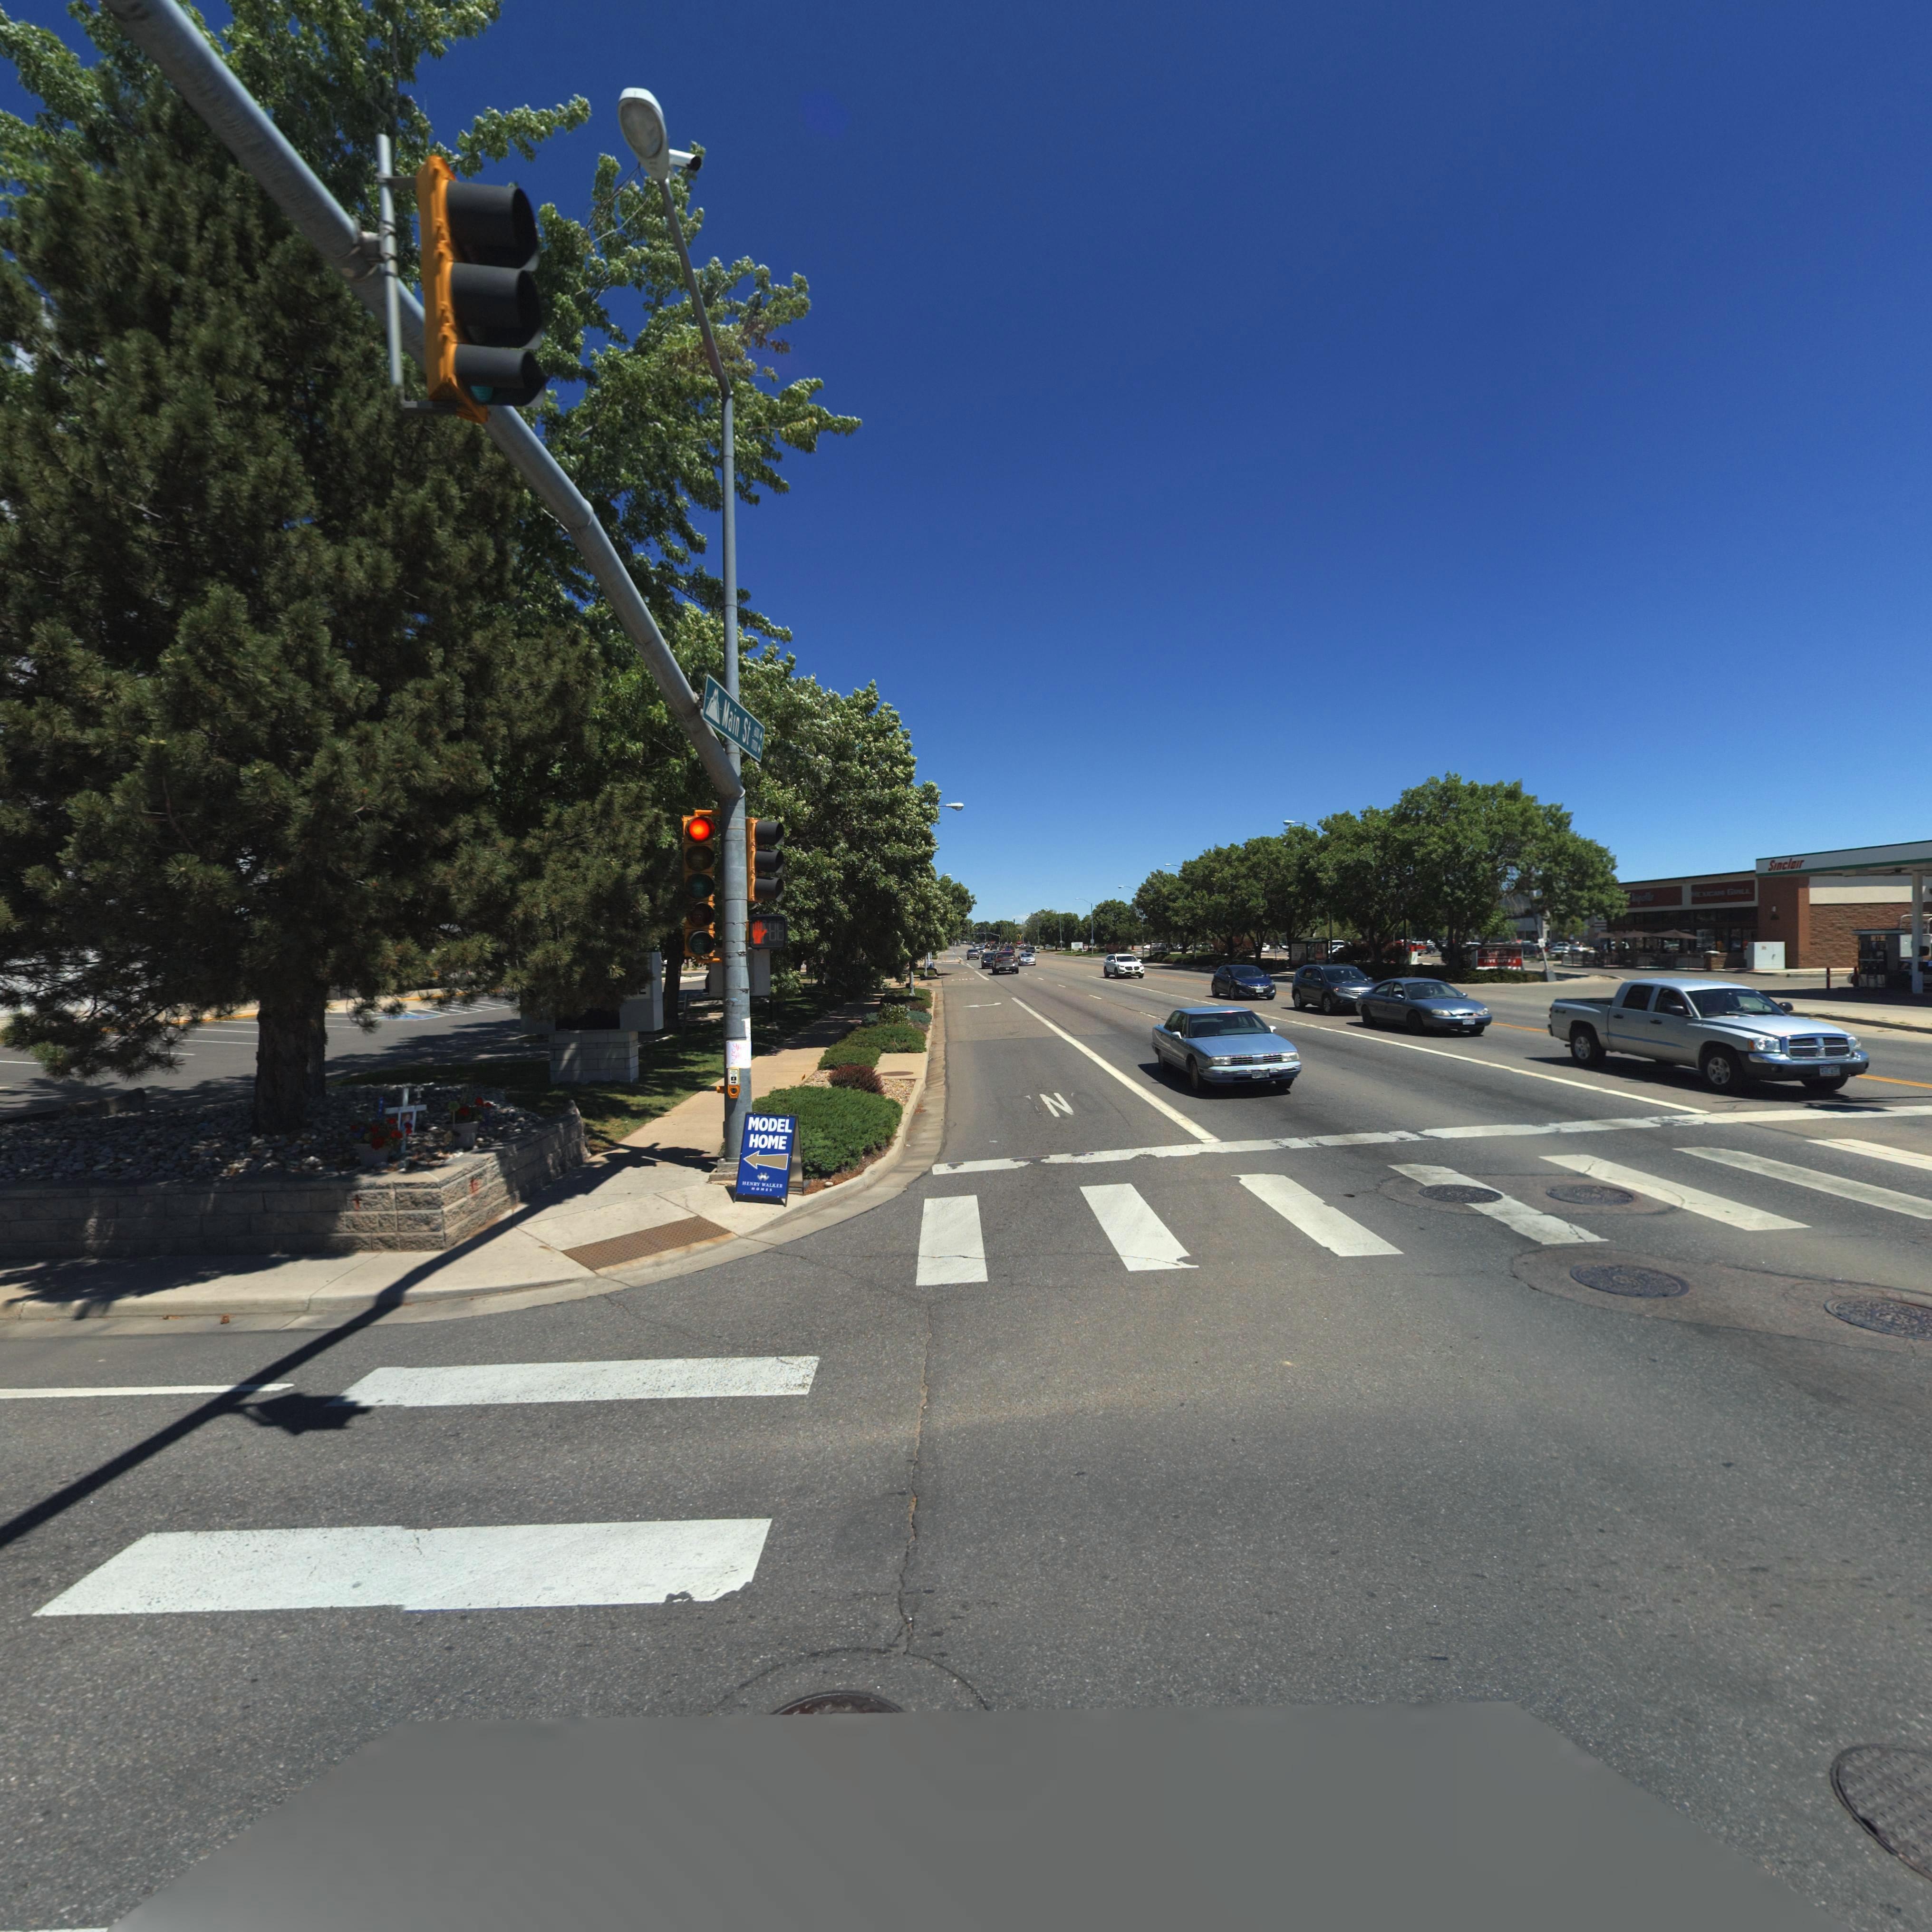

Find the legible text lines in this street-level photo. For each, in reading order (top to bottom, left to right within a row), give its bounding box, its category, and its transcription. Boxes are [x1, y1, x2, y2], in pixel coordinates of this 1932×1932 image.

[719, 697, 754, 747] StreetName: Main St
[752, 725, 761, 739] StreetNumberRange: 600
[750, 738, 762, 755] StreetNumberRange: **00->
[1767, 857, 1806, 872] BusinessName: Sinclair
[1631, 890, 1655, 906] BusinessName: **po***
[1690, 888, 1752, 898] BusinessName: MEXICAN GRILL
[1486, 948, 1507, 956] BusinessName: C**po**e
[1484, 958, 1511, 963] BusinessName: *I** GU**